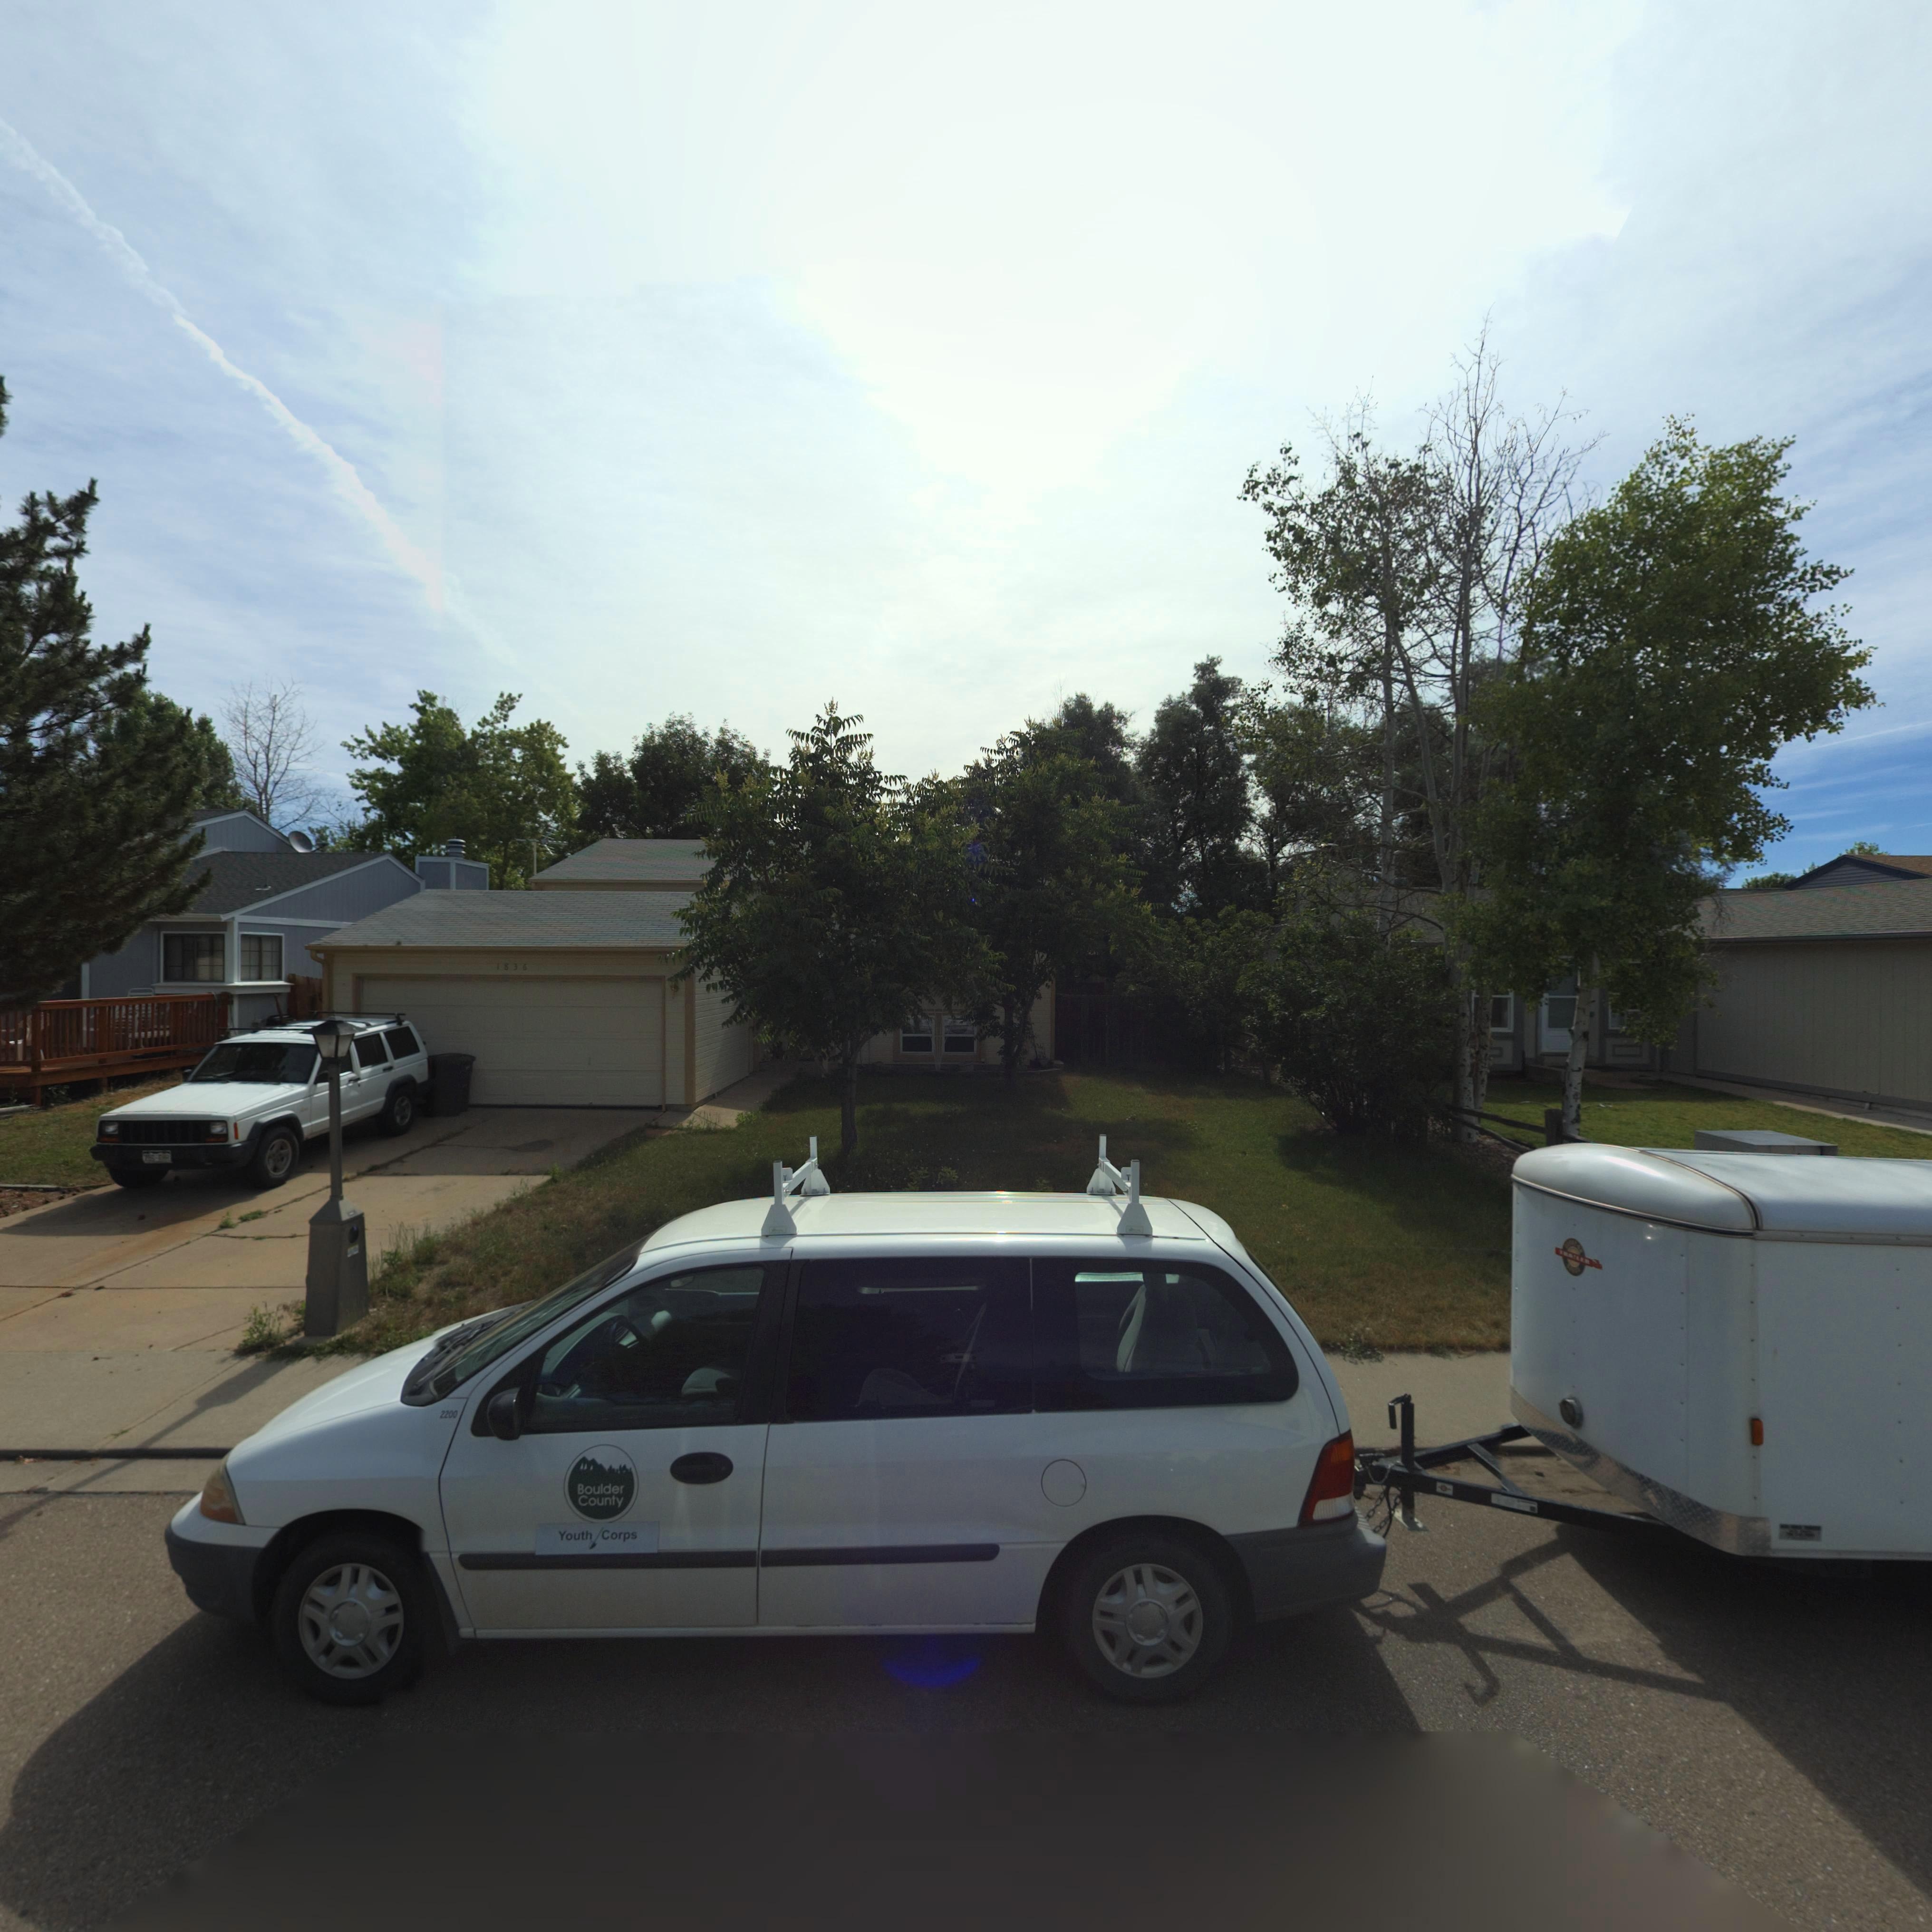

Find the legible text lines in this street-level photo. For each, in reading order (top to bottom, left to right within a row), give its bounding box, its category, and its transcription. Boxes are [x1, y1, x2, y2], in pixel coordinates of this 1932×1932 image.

[496, 962, 527, 970] StreetNumber: 1836